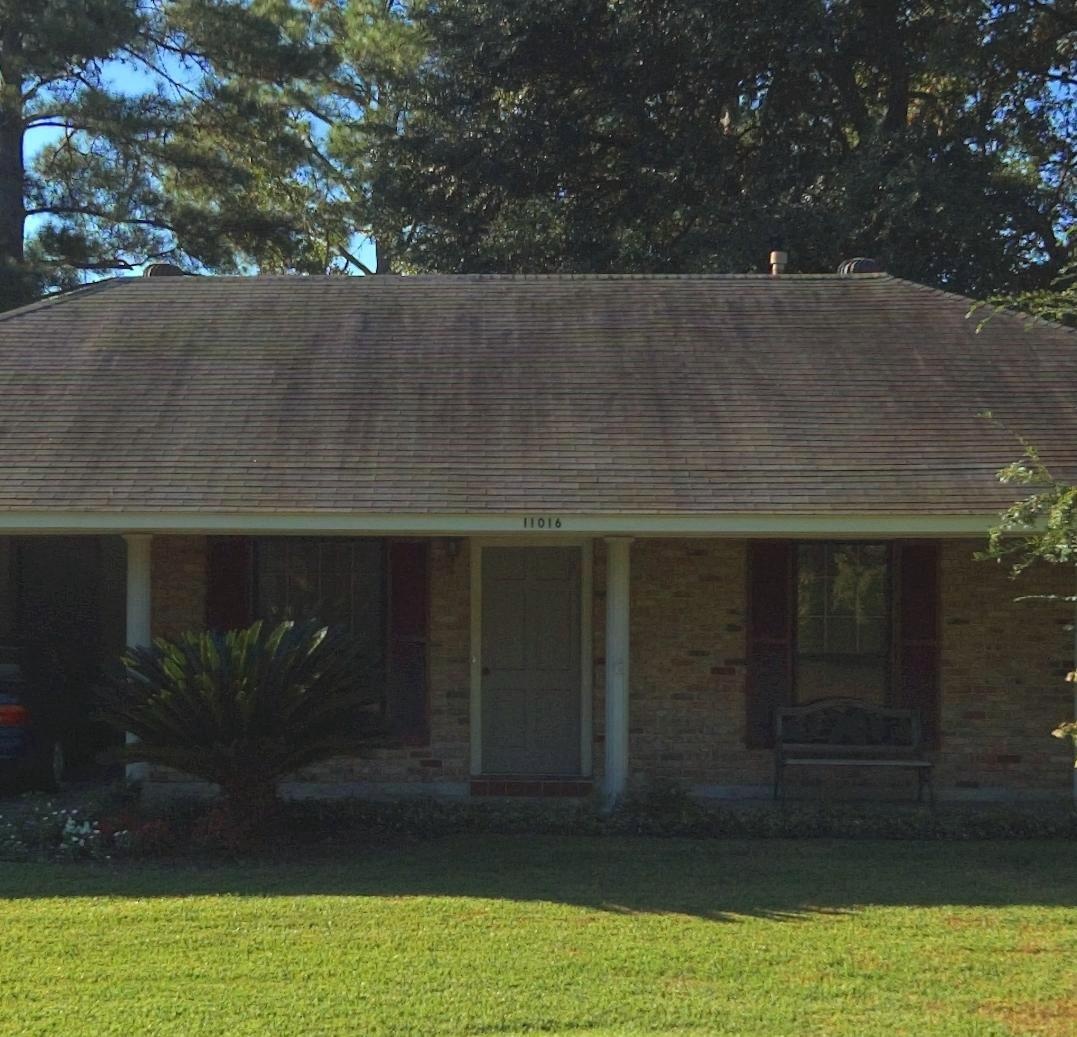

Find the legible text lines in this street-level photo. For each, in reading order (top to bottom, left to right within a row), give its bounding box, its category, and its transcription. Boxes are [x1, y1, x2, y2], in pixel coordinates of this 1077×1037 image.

[521, 516, 563, 530] StreetNumber: 11016